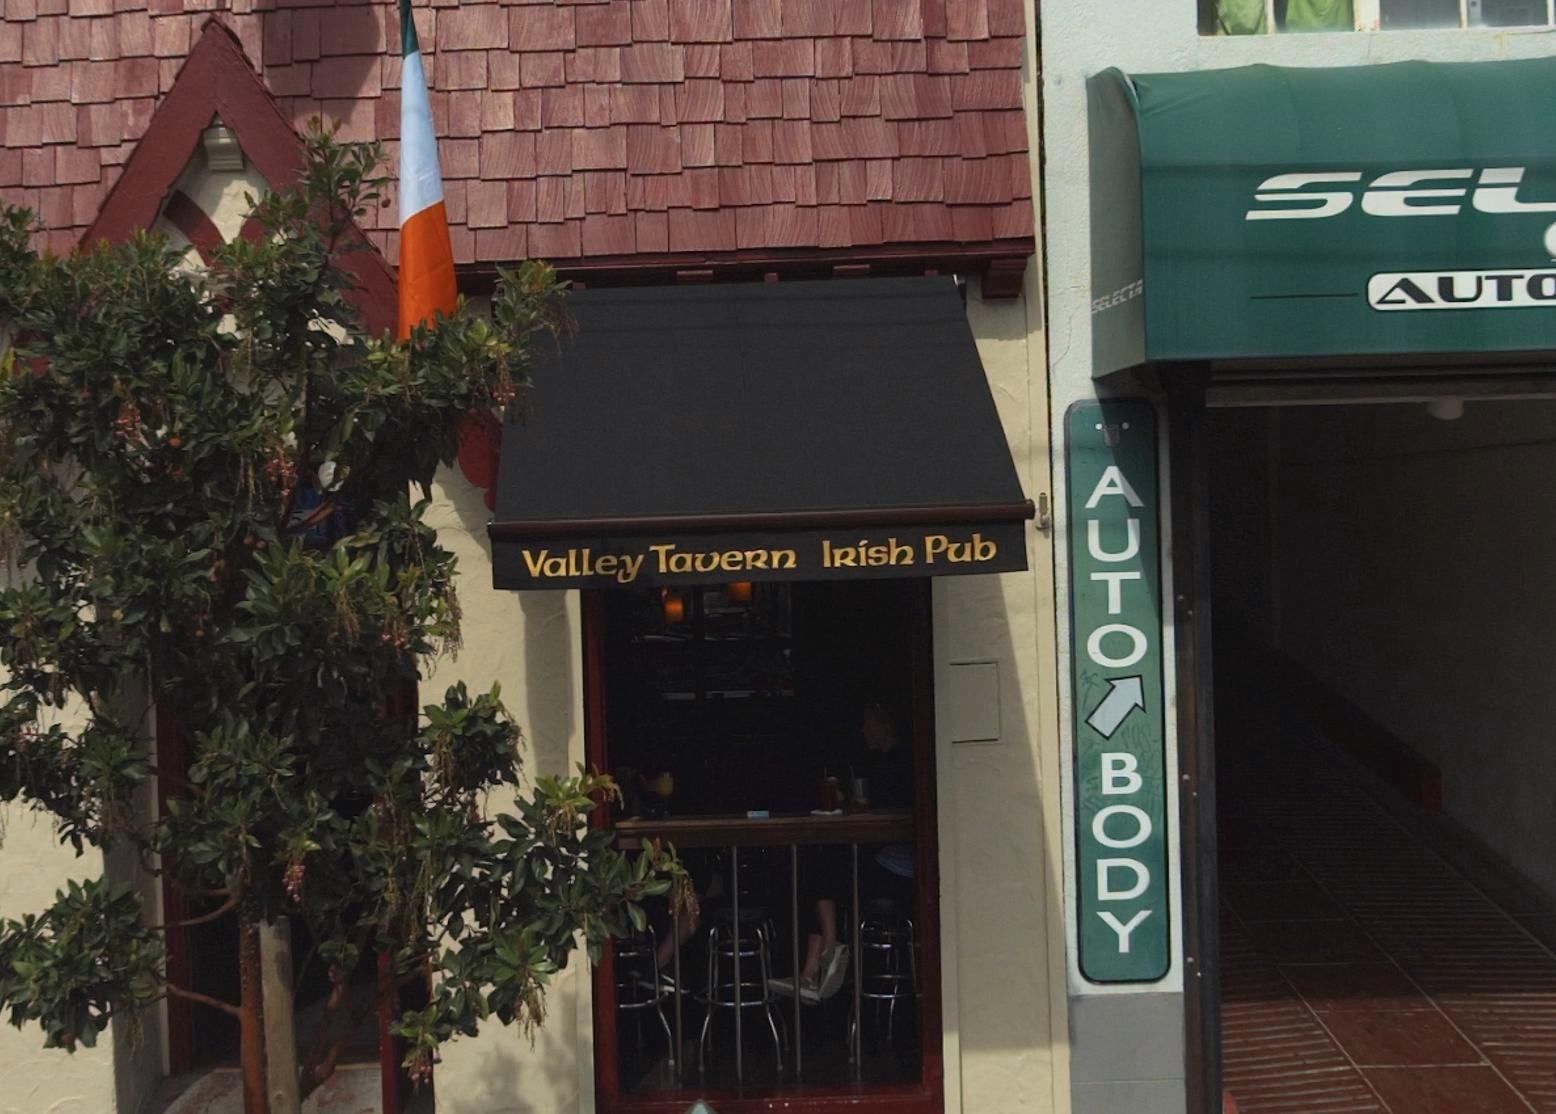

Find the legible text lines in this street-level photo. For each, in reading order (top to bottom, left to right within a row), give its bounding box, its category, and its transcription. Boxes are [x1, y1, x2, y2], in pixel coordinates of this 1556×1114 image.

[1239, 166, 1555, 224] BusinessName: SEL
[1090, 275, 1145, 316] BusinessName: SELECTA
[1371, 274, 1525, 306] None: AUT
[520, 530, 998, 586] BusinessName: Valley Tavern Irish Pub
[1085, 463, 1153, 956] None: AUTO BODY